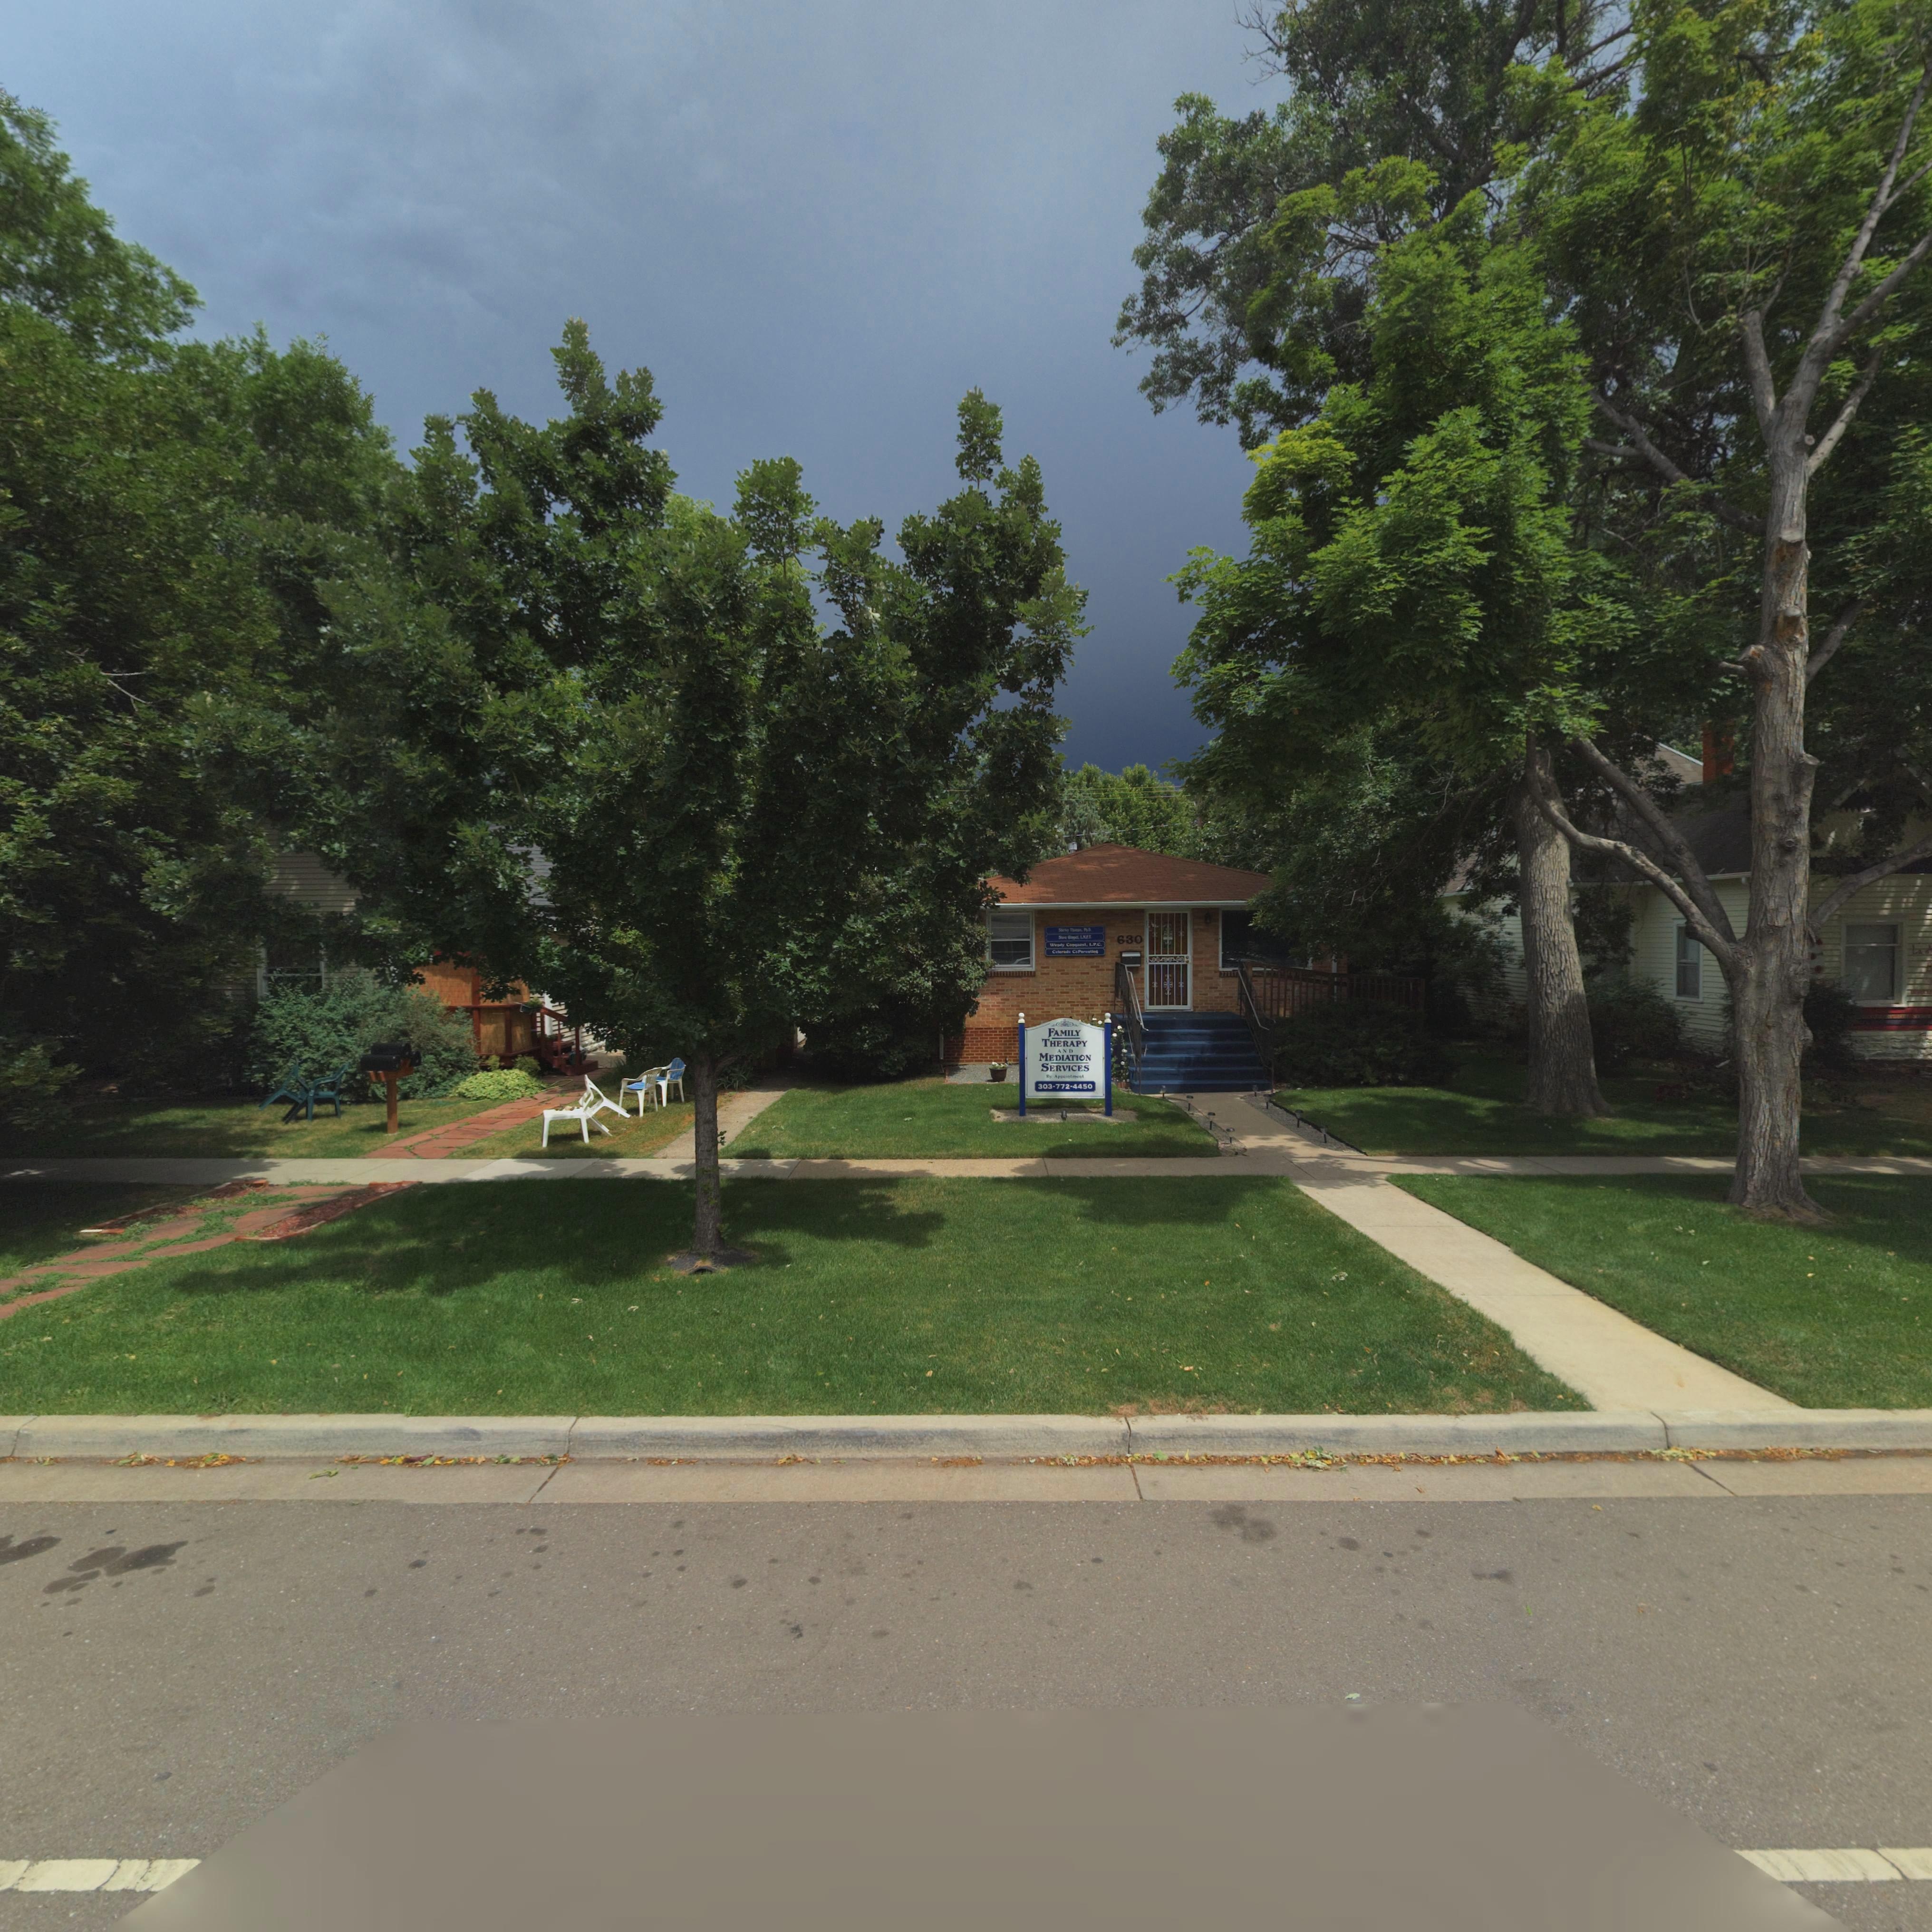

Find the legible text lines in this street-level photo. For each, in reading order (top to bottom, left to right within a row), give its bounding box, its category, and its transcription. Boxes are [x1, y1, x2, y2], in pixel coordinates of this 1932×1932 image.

[1117, 935, 1142, 944] StreetNumber: 630
[1911, 944, 1923, 955] BusinessName: La
[1041, 1038, 1088, 1047] BusinessName: THERAPY
[1057, 1048, 1073, 1053] BusinessName: AND
[1038, 1052, 1091, 1061] BusinessName: MEDIATION